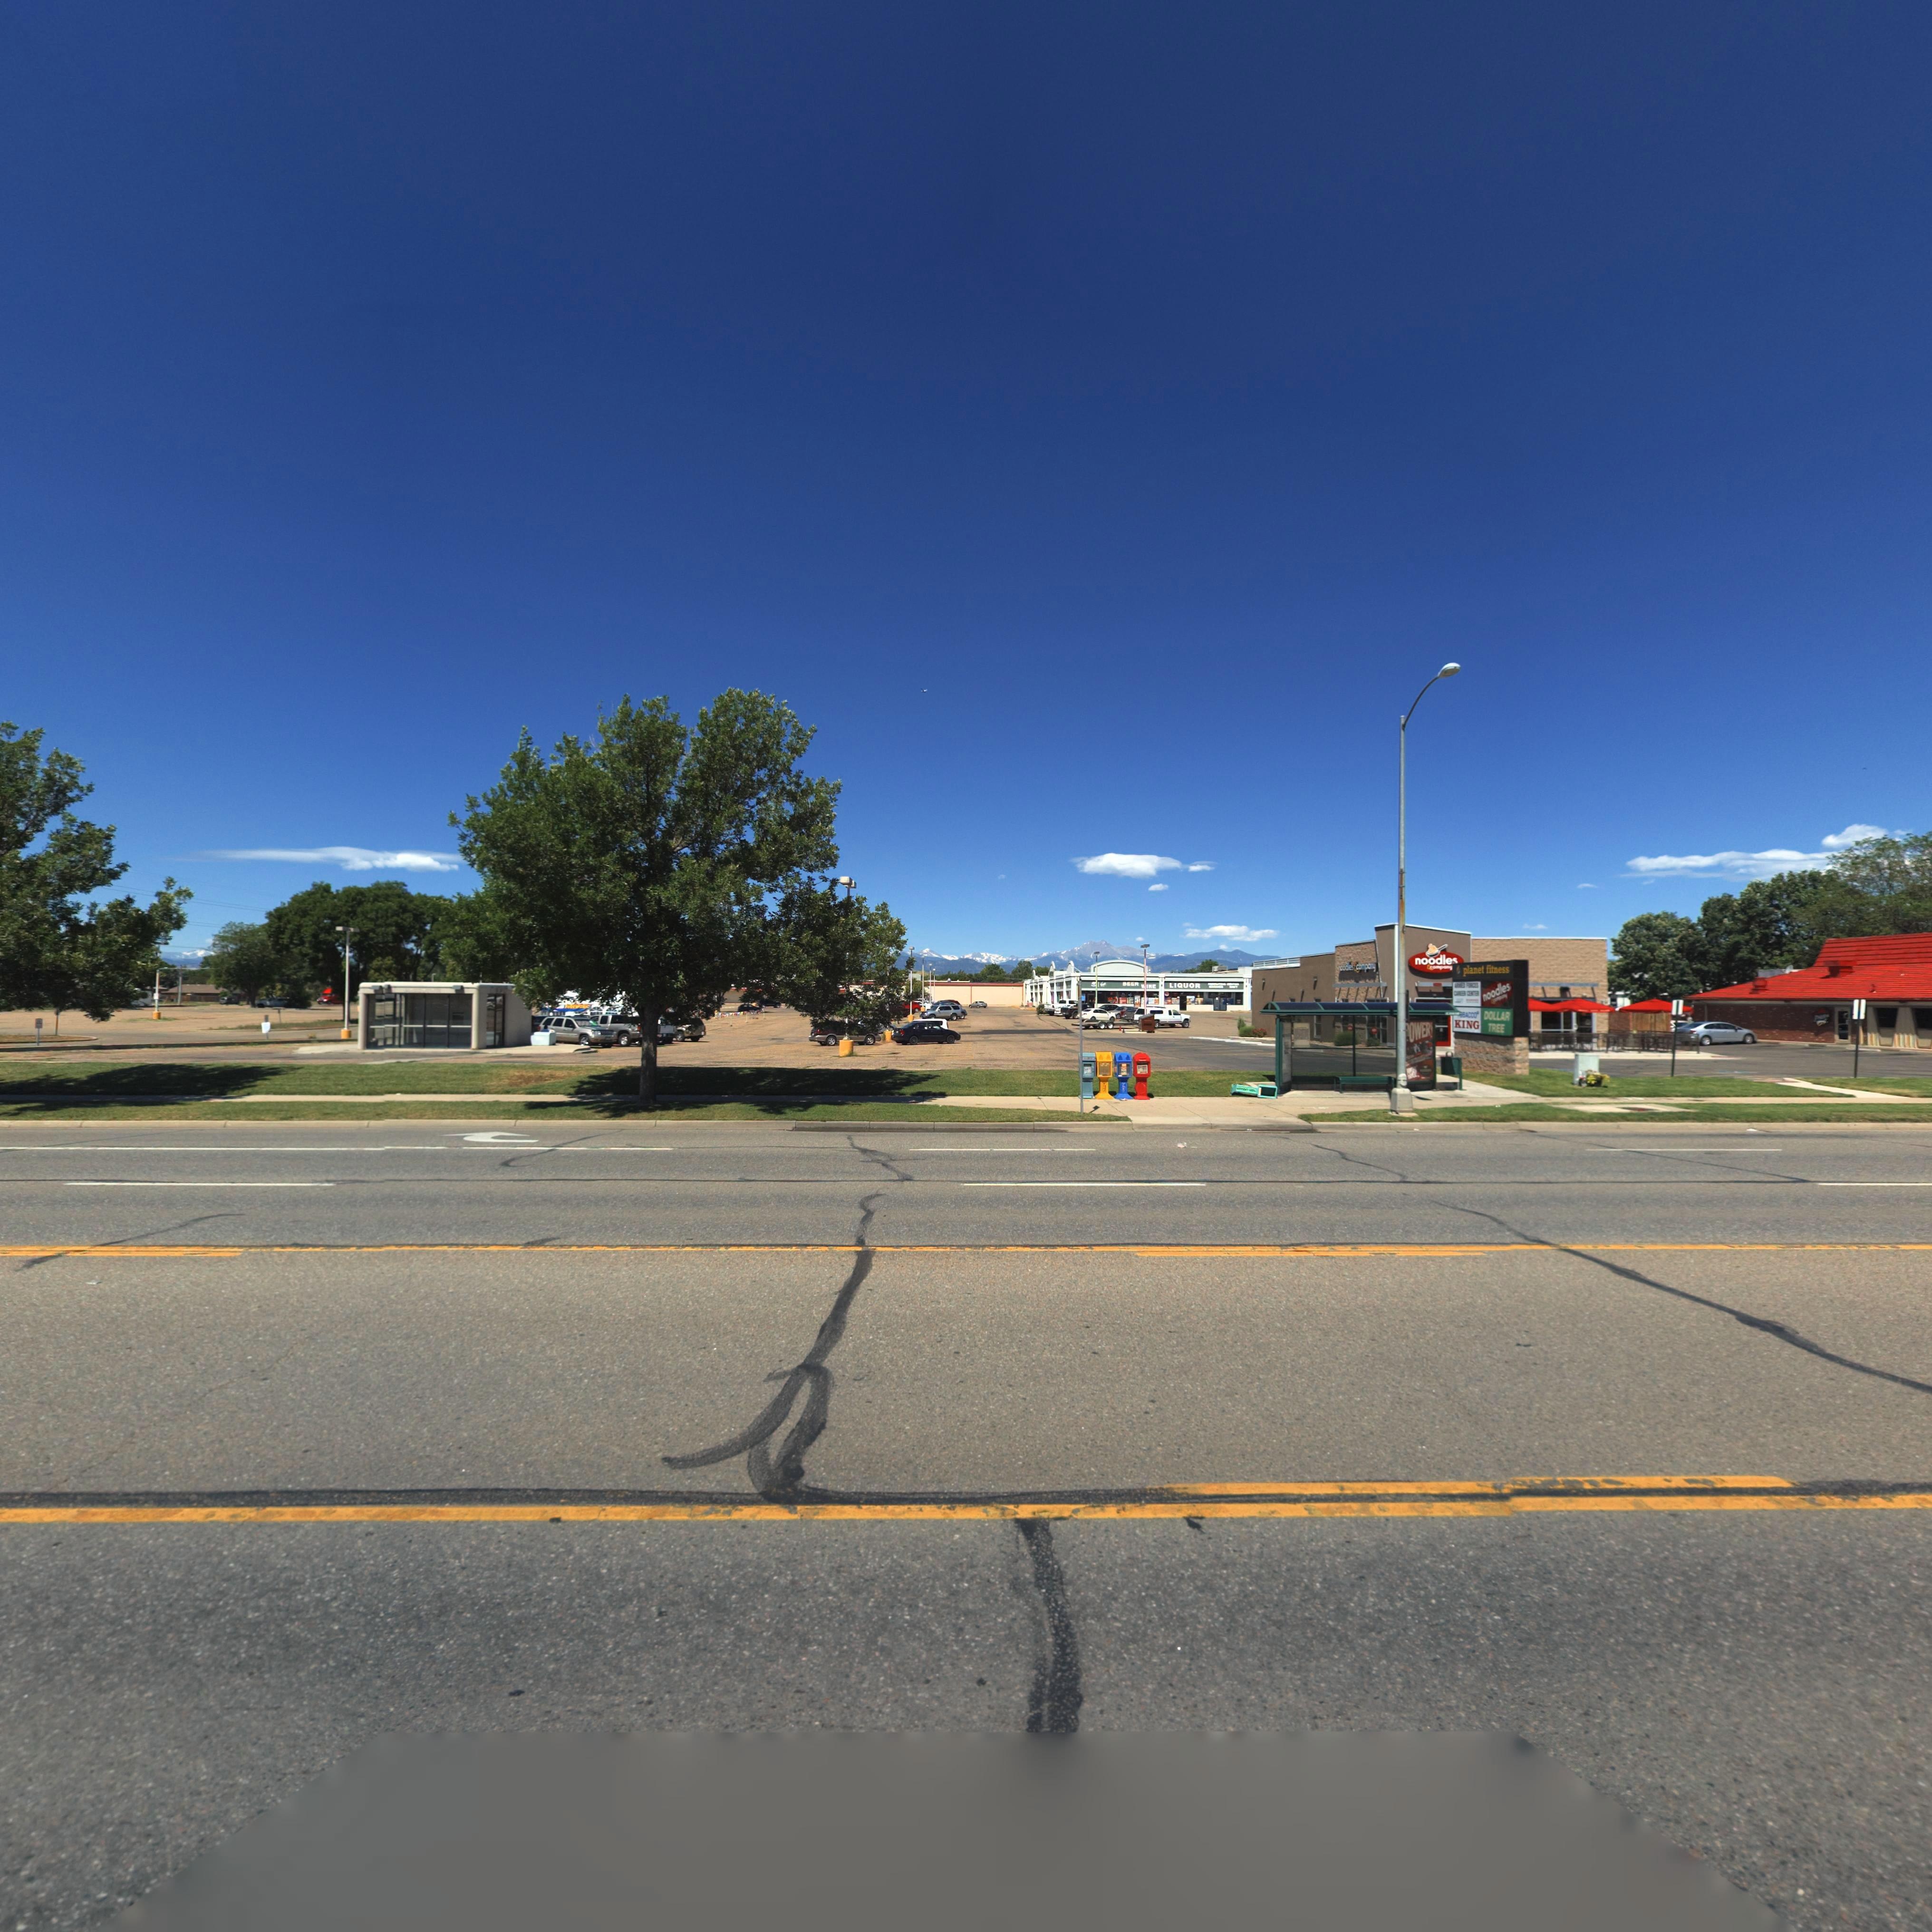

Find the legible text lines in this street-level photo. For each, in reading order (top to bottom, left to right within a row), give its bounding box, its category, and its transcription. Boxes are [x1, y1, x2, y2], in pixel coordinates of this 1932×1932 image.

[1414, 954, 1458, 965] BusinessName: noodles
[1338, 961, 1376, 973] BusinessName: nood*es & compa*y
[1429, 965, 1453, 970] BusinessName: comp**y
[1463, 964, 1510, 977] BusinessName: planet fitness
[1454, 982, 1479, 988] BusinessName: ***ED F*RCES
[1453, 990, 1479, 996] BusinessName: C*RE** CE*TE*
[1482, 982, 1511, 1003] BusinessName: noodles
[1462, 1011, 1478, 1019] BusinessName: SACCO
[1483, 1010, 1511, 1021] BusinessName: DOLLAR
[1812, 1014, 1819, 1023] BusinessName: P
[1454, 1019, 1479, 1029] BusinessName: KING
[1488, 1023, 1505, 1034] BusinessName: TREE